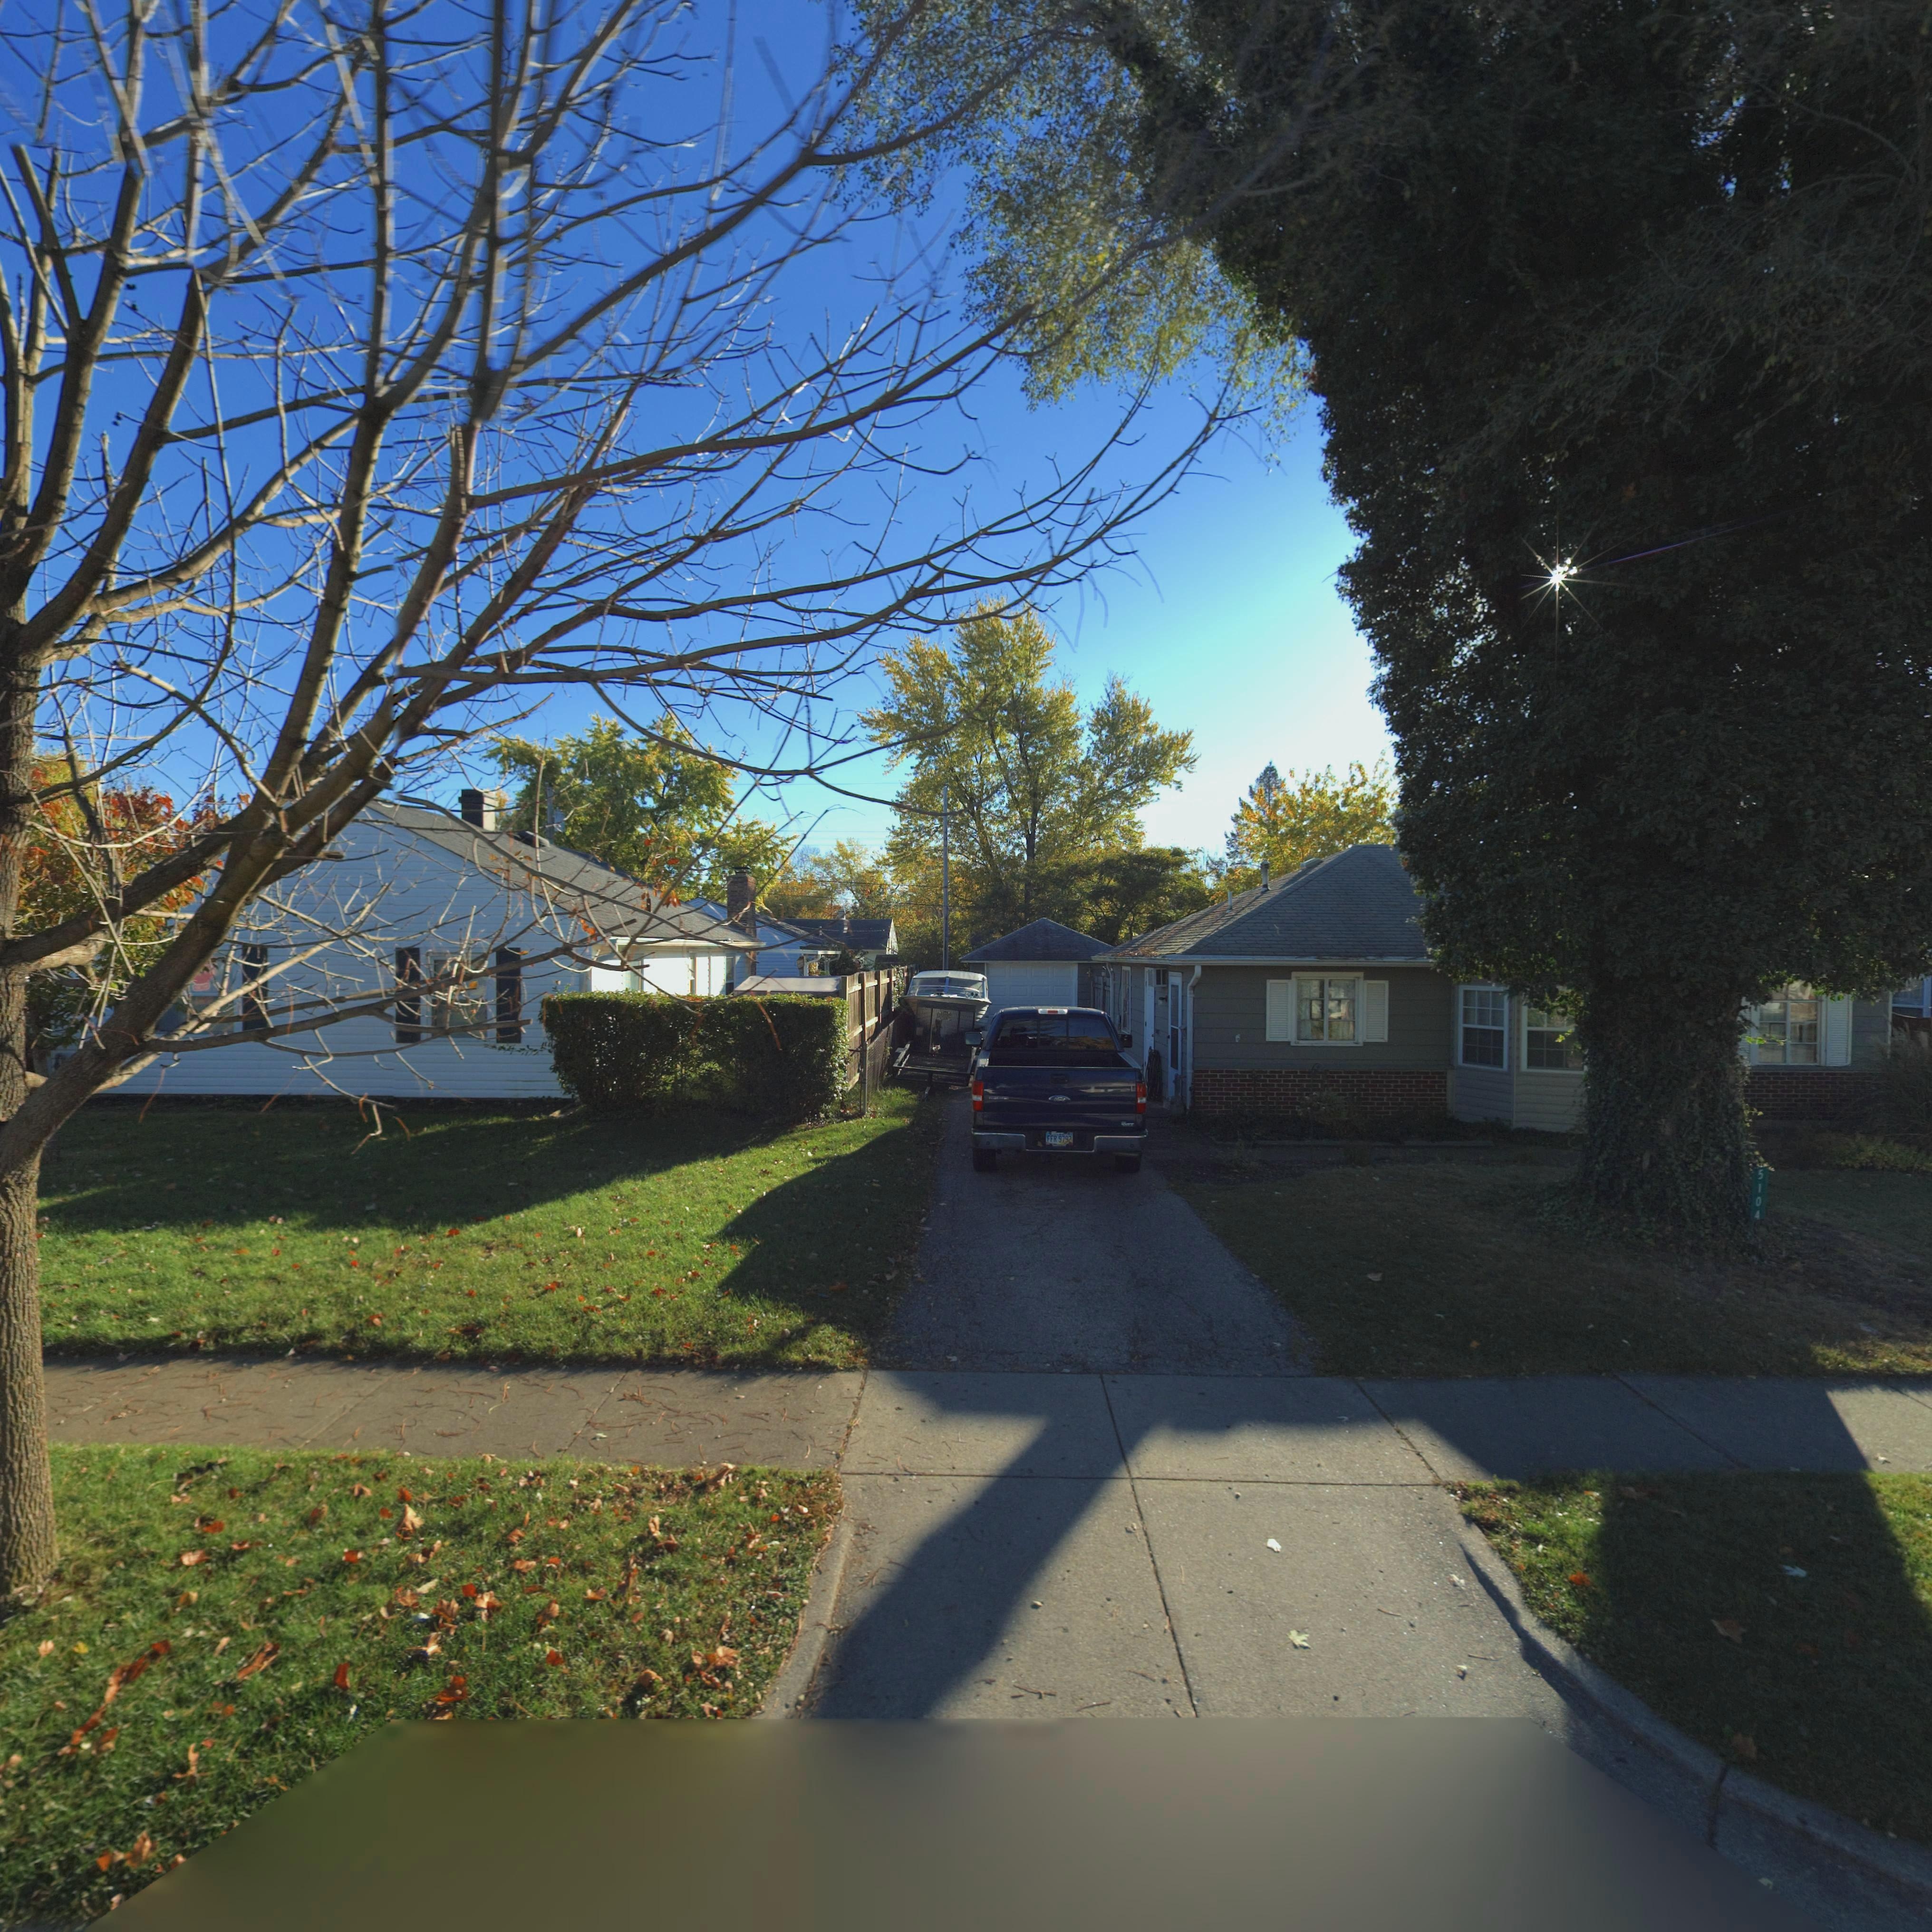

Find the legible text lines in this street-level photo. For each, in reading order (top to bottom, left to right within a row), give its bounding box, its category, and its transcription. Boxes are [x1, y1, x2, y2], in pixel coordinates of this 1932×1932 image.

[1753, 1168, 1765, 1220] StreetNumber: 5104